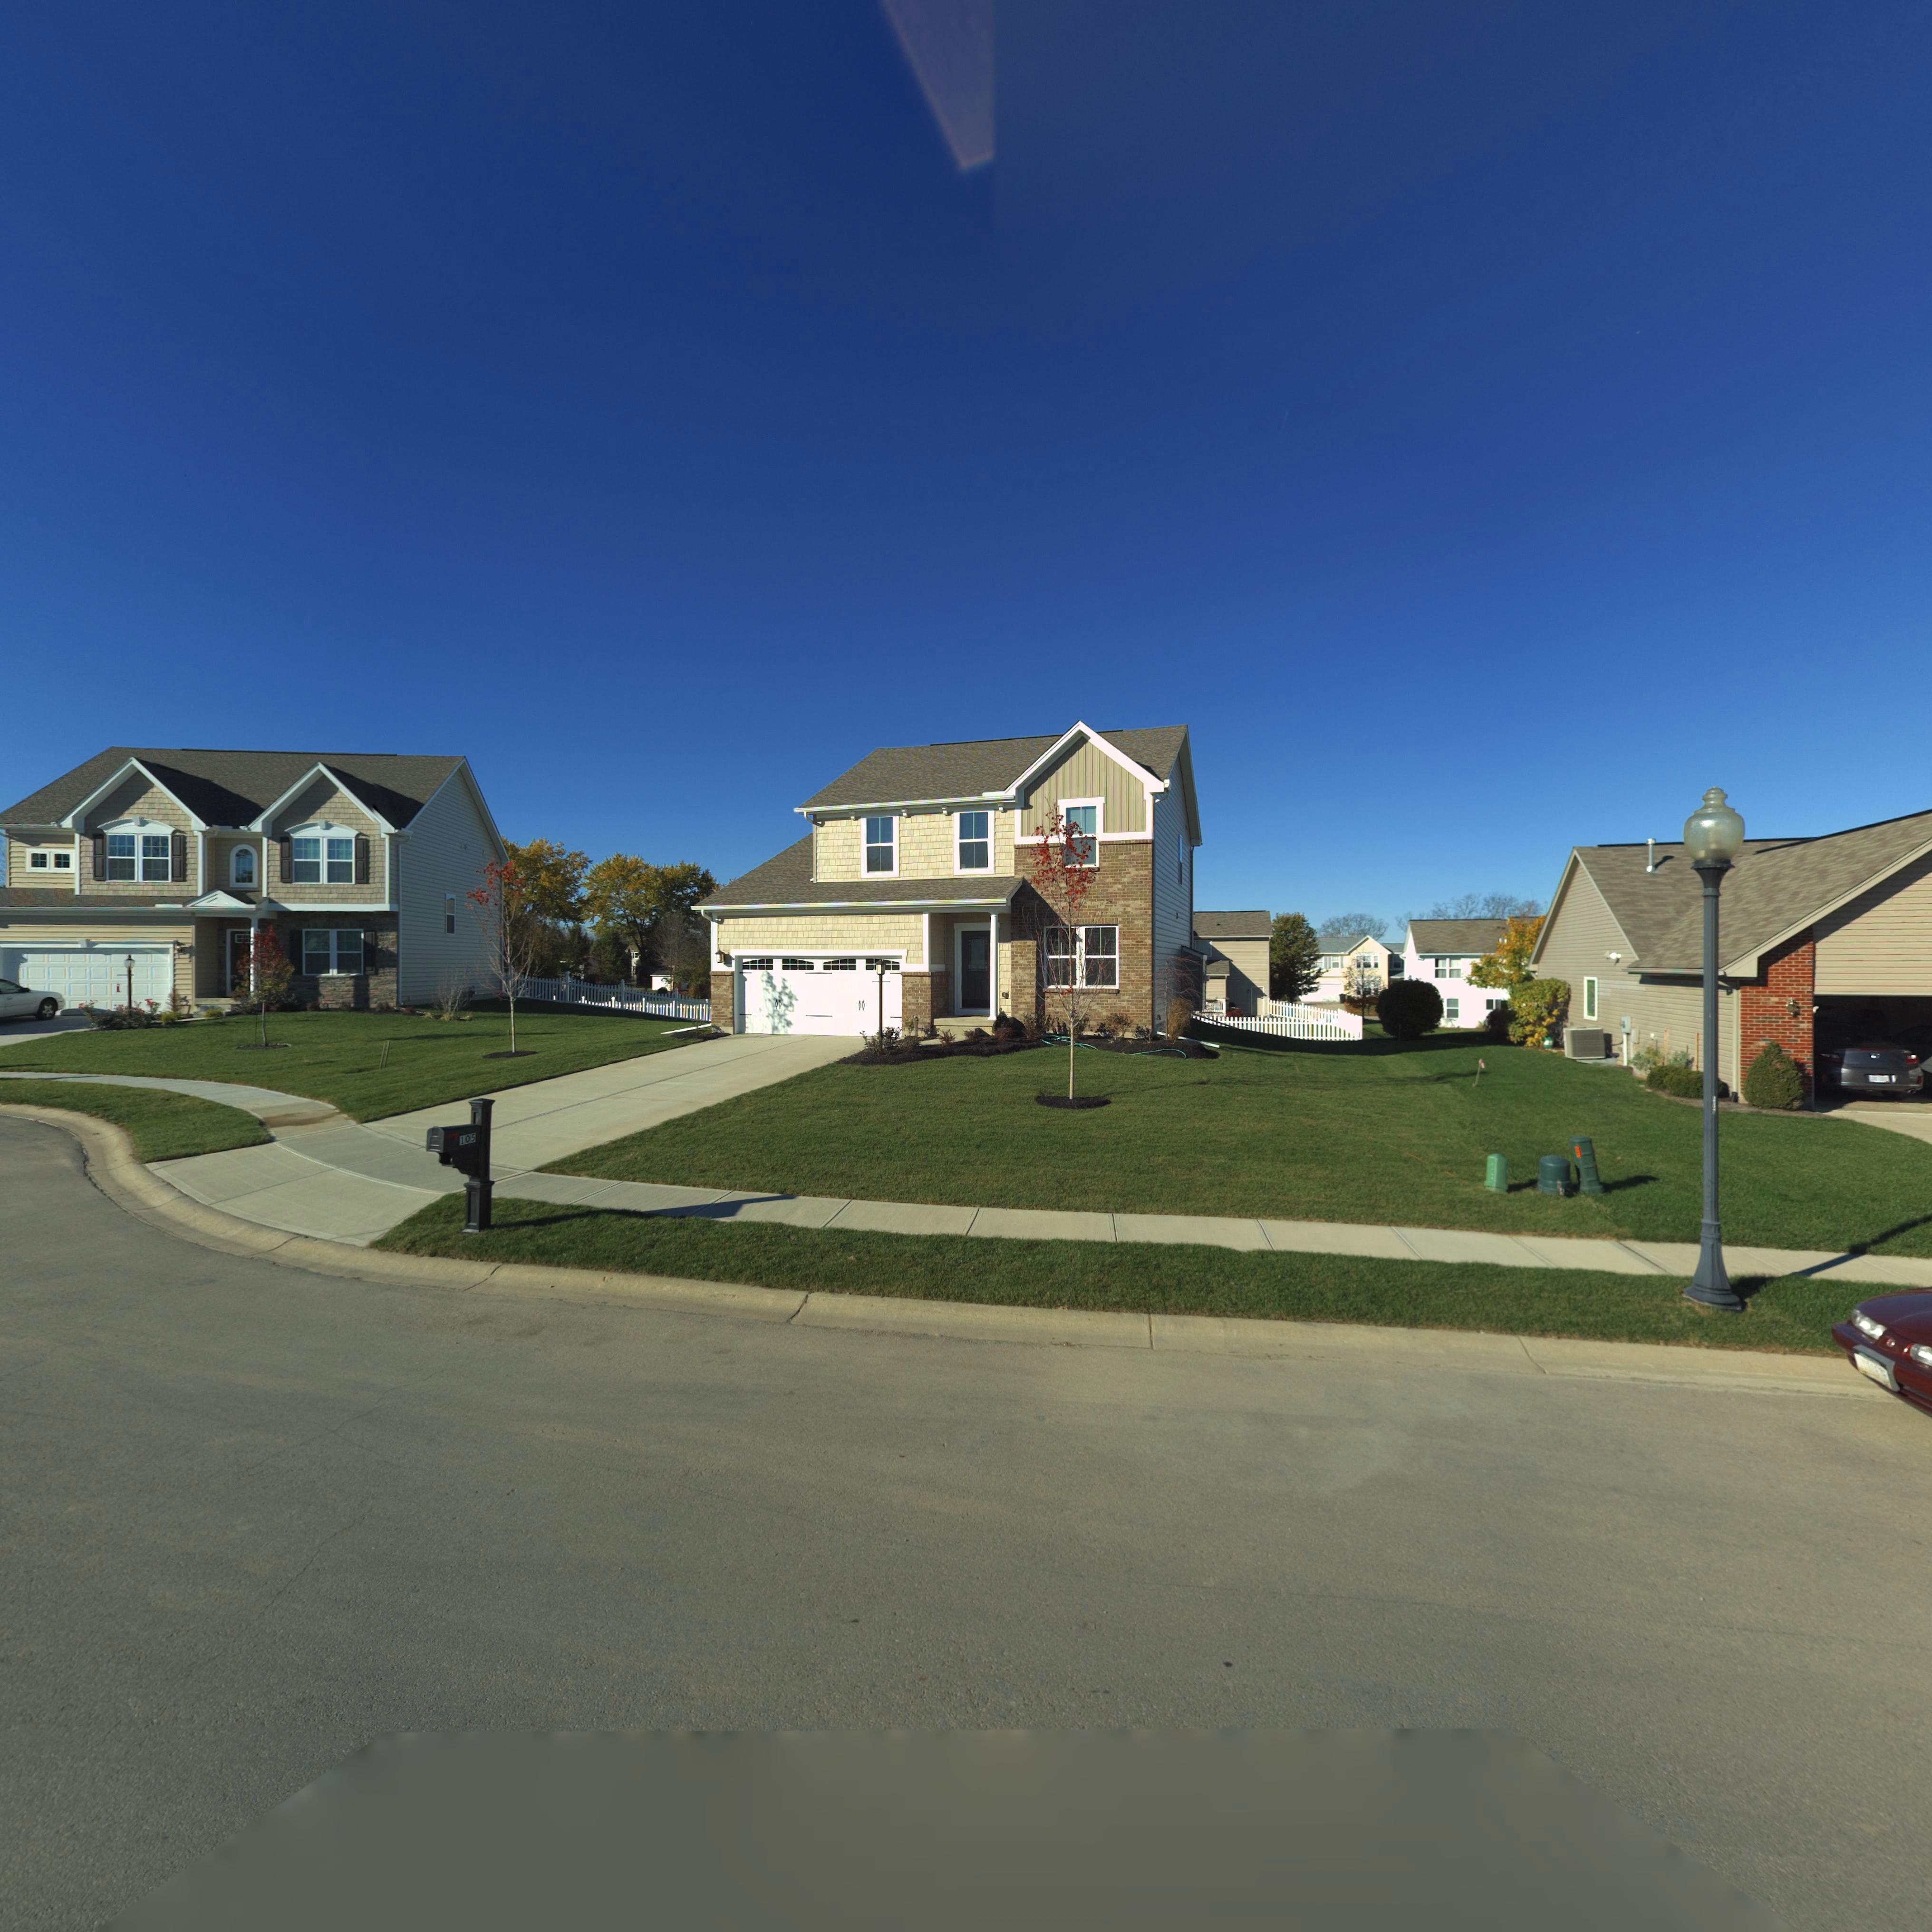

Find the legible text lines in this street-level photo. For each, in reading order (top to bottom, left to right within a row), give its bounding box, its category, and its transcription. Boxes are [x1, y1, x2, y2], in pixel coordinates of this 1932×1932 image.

[459, 1132, 476, 1146] StreetNumber: 105